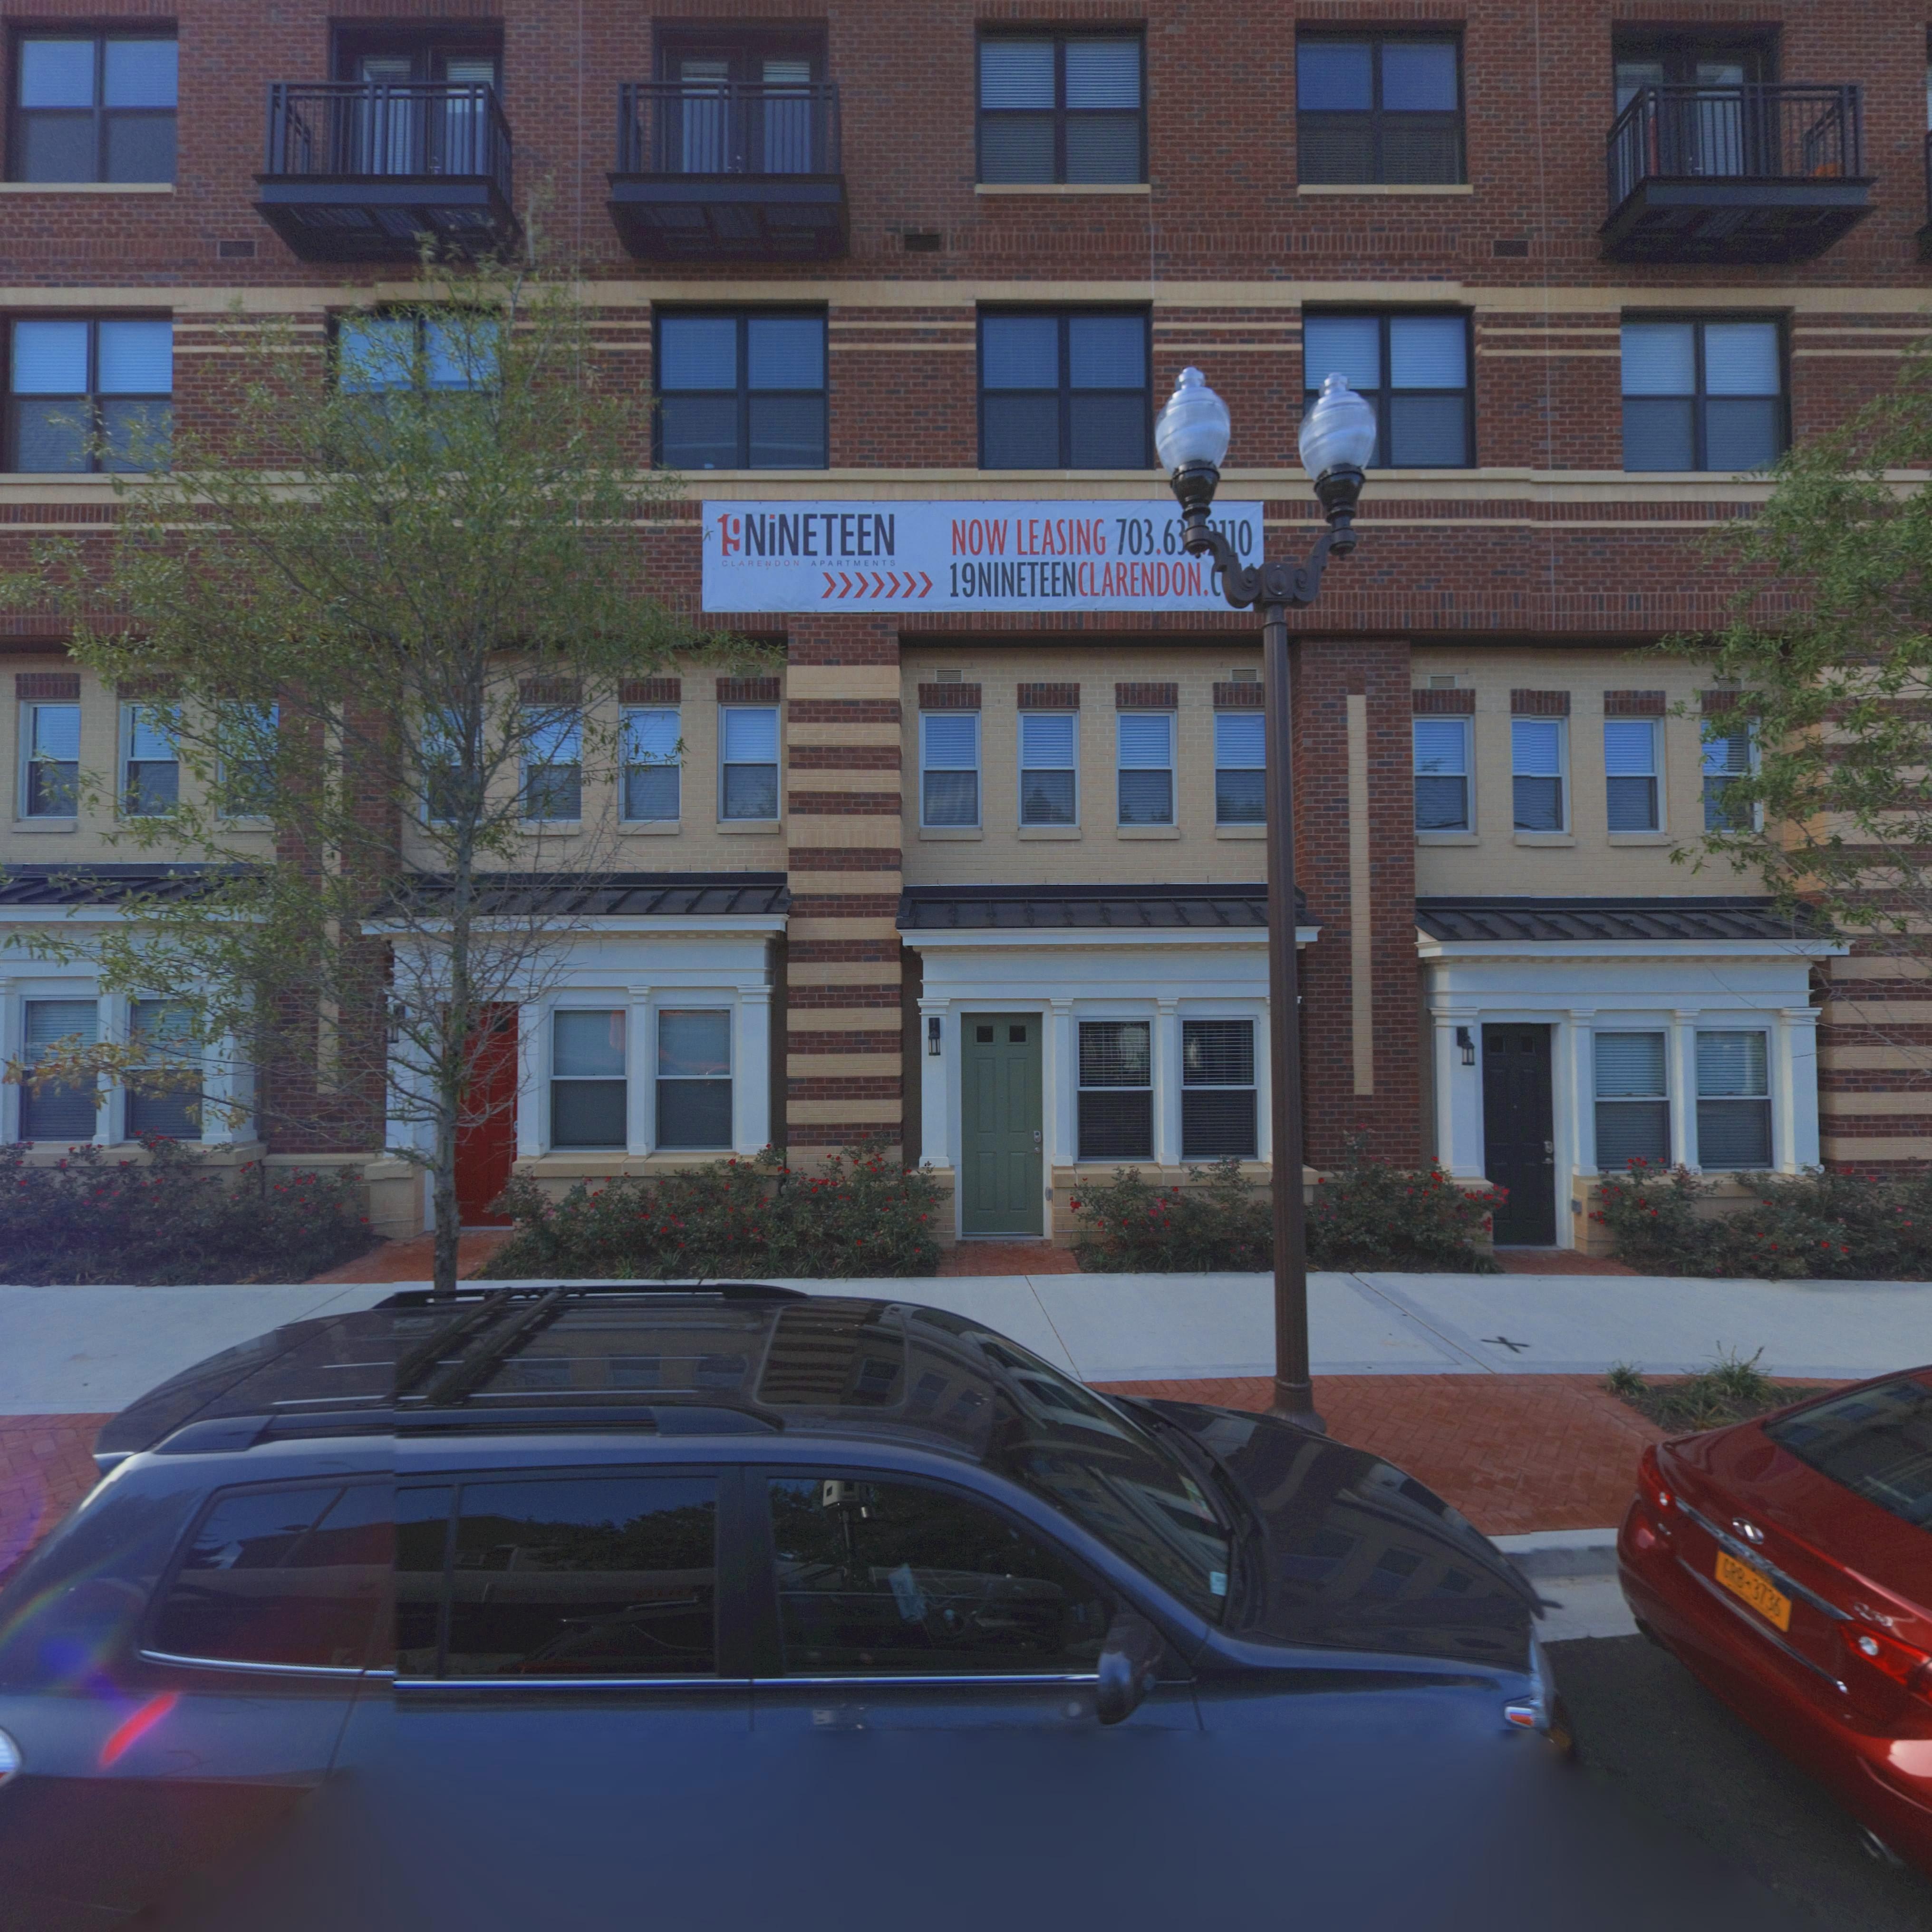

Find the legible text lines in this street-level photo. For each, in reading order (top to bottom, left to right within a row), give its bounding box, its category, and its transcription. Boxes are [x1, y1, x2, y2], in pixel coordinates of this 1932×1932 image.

[743, 510, 898, 559] None: NiNETEEN
[950, 515, 1178, 559] None: NOW LEASING 703.6
[1226, 517, 1255, 558] None: 10
[721, 558, 897, 569] None: CLARENDON APARTMENTS
[947, 560, 1203, 599] None: 19NINETEENCLARENDON
[1720, 1555, 1783, 1618] None: GRB*3736